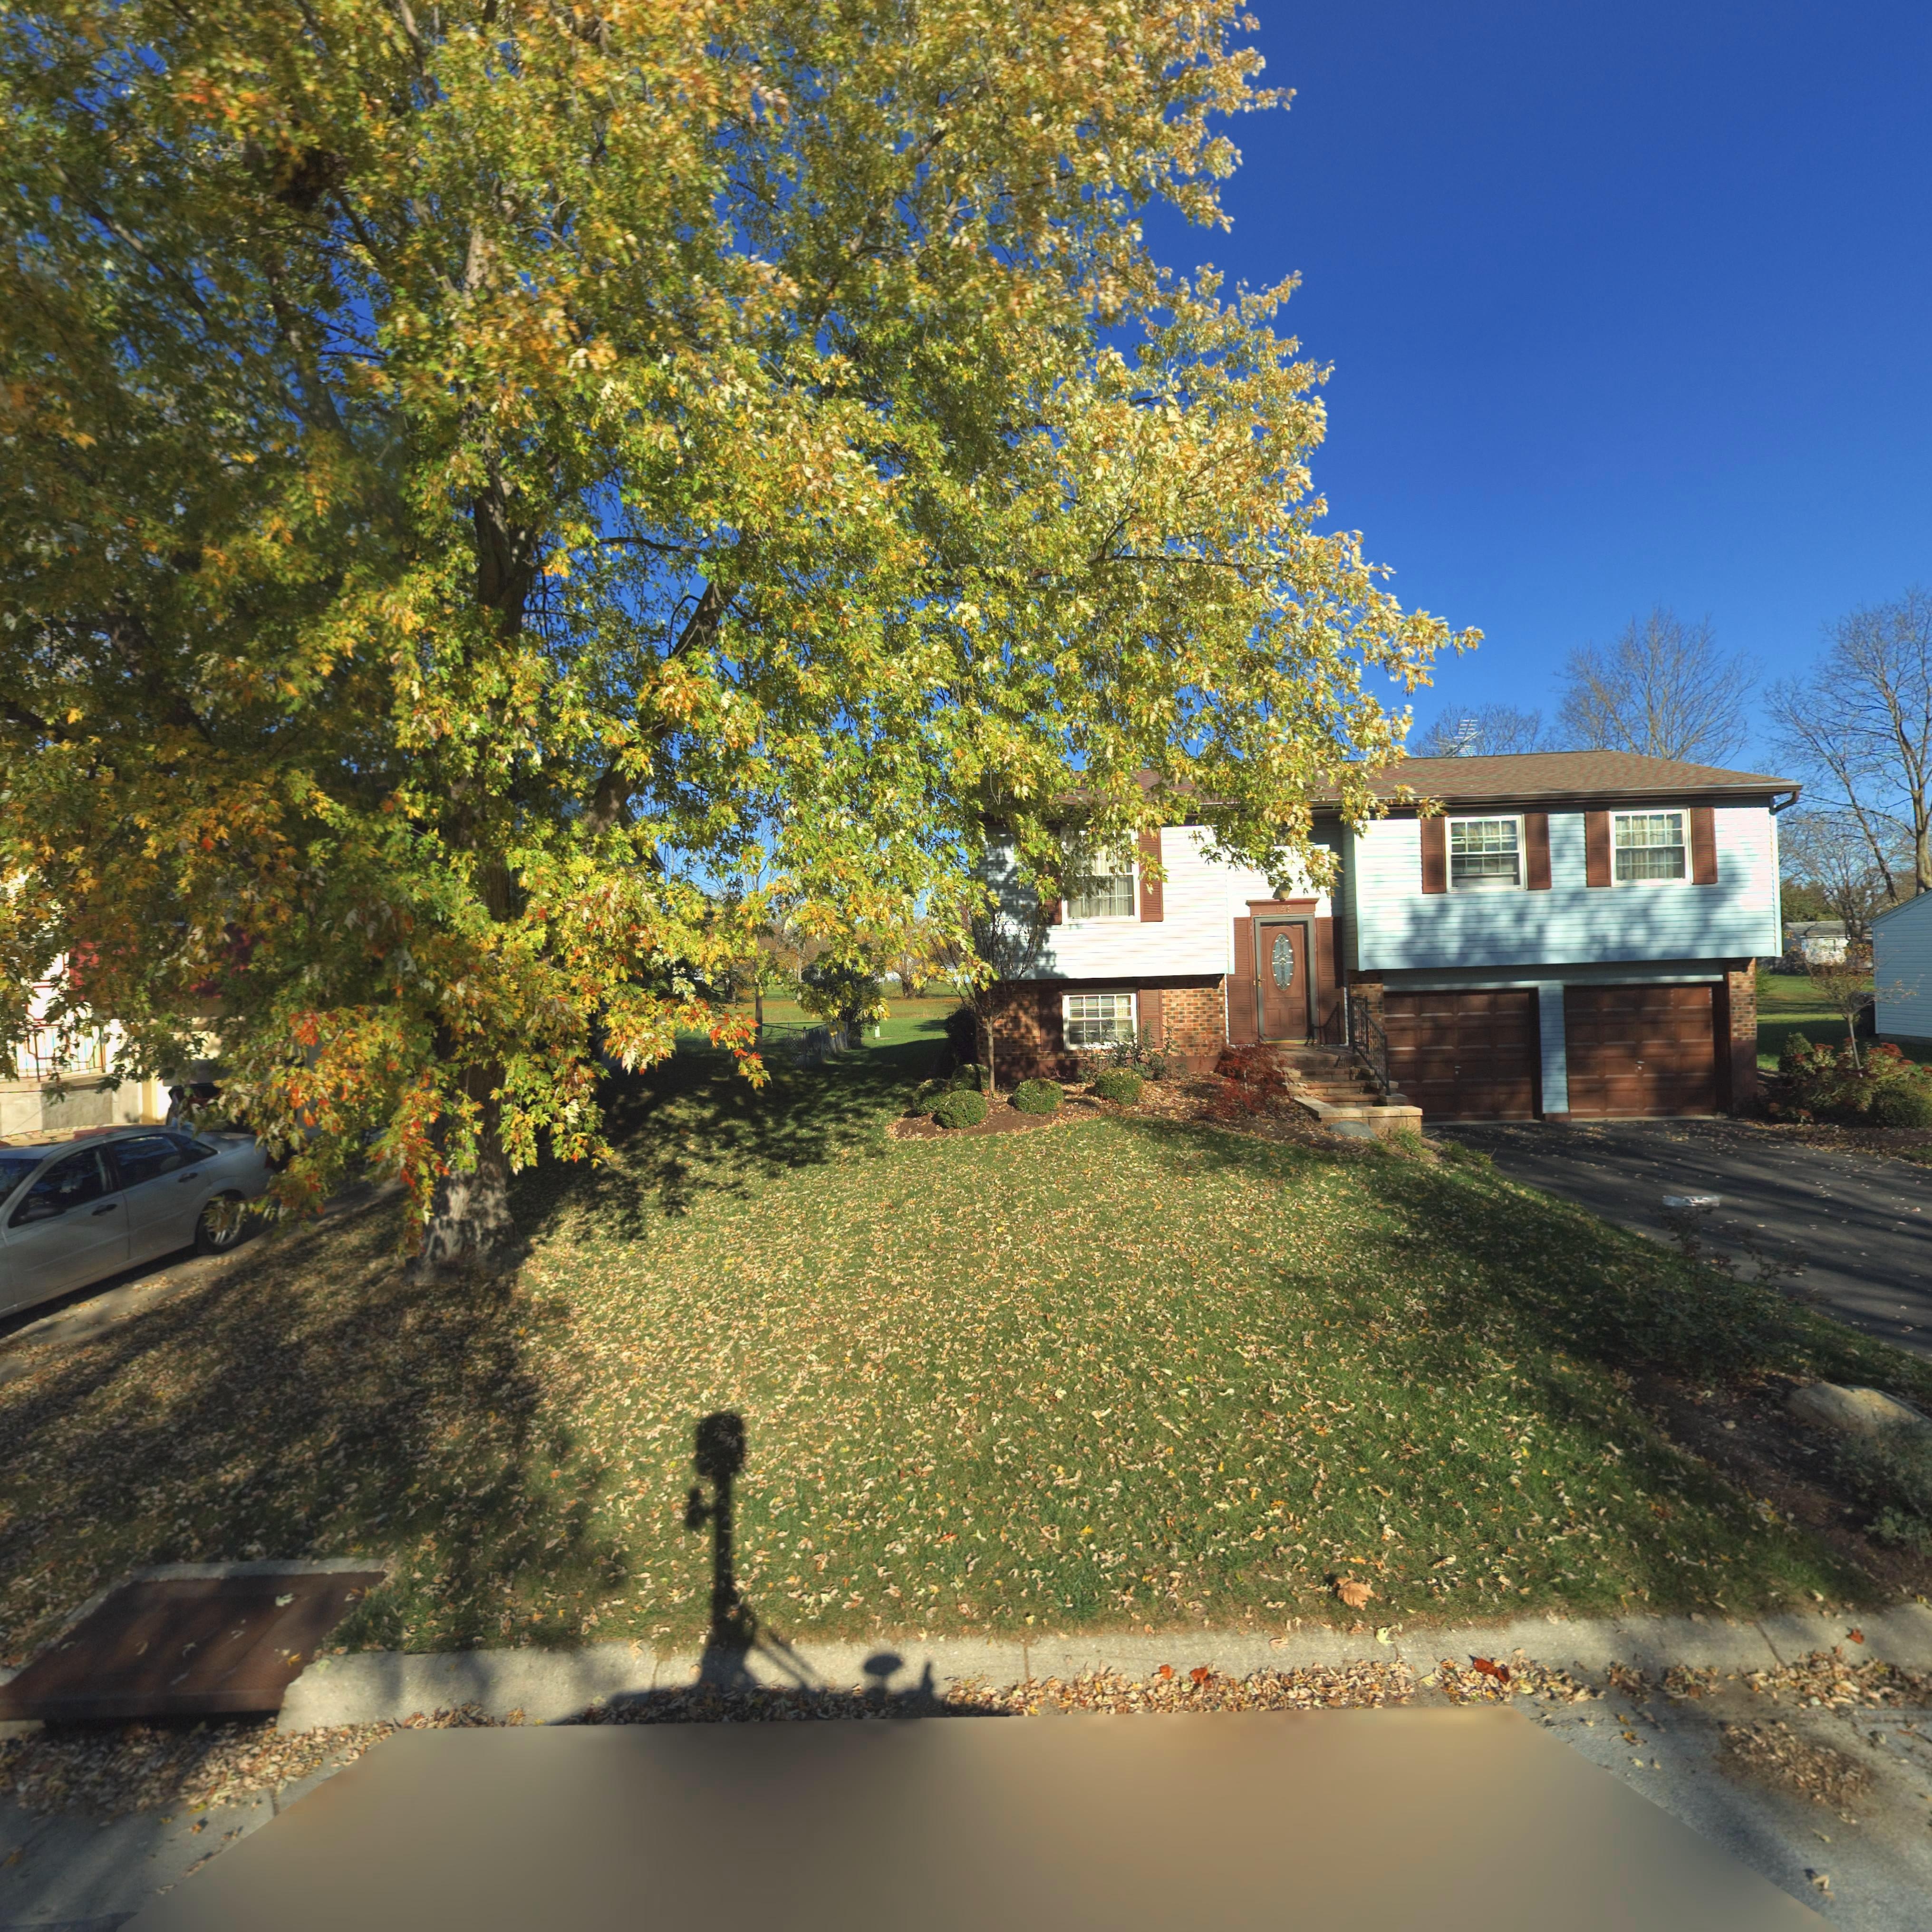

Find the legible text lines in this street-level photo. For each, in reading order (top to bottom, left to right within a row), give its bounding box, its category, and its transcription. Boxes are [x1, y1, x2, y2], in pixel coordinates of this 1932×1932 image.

[1275, 905, 1292, 913] StreetNumber: 146